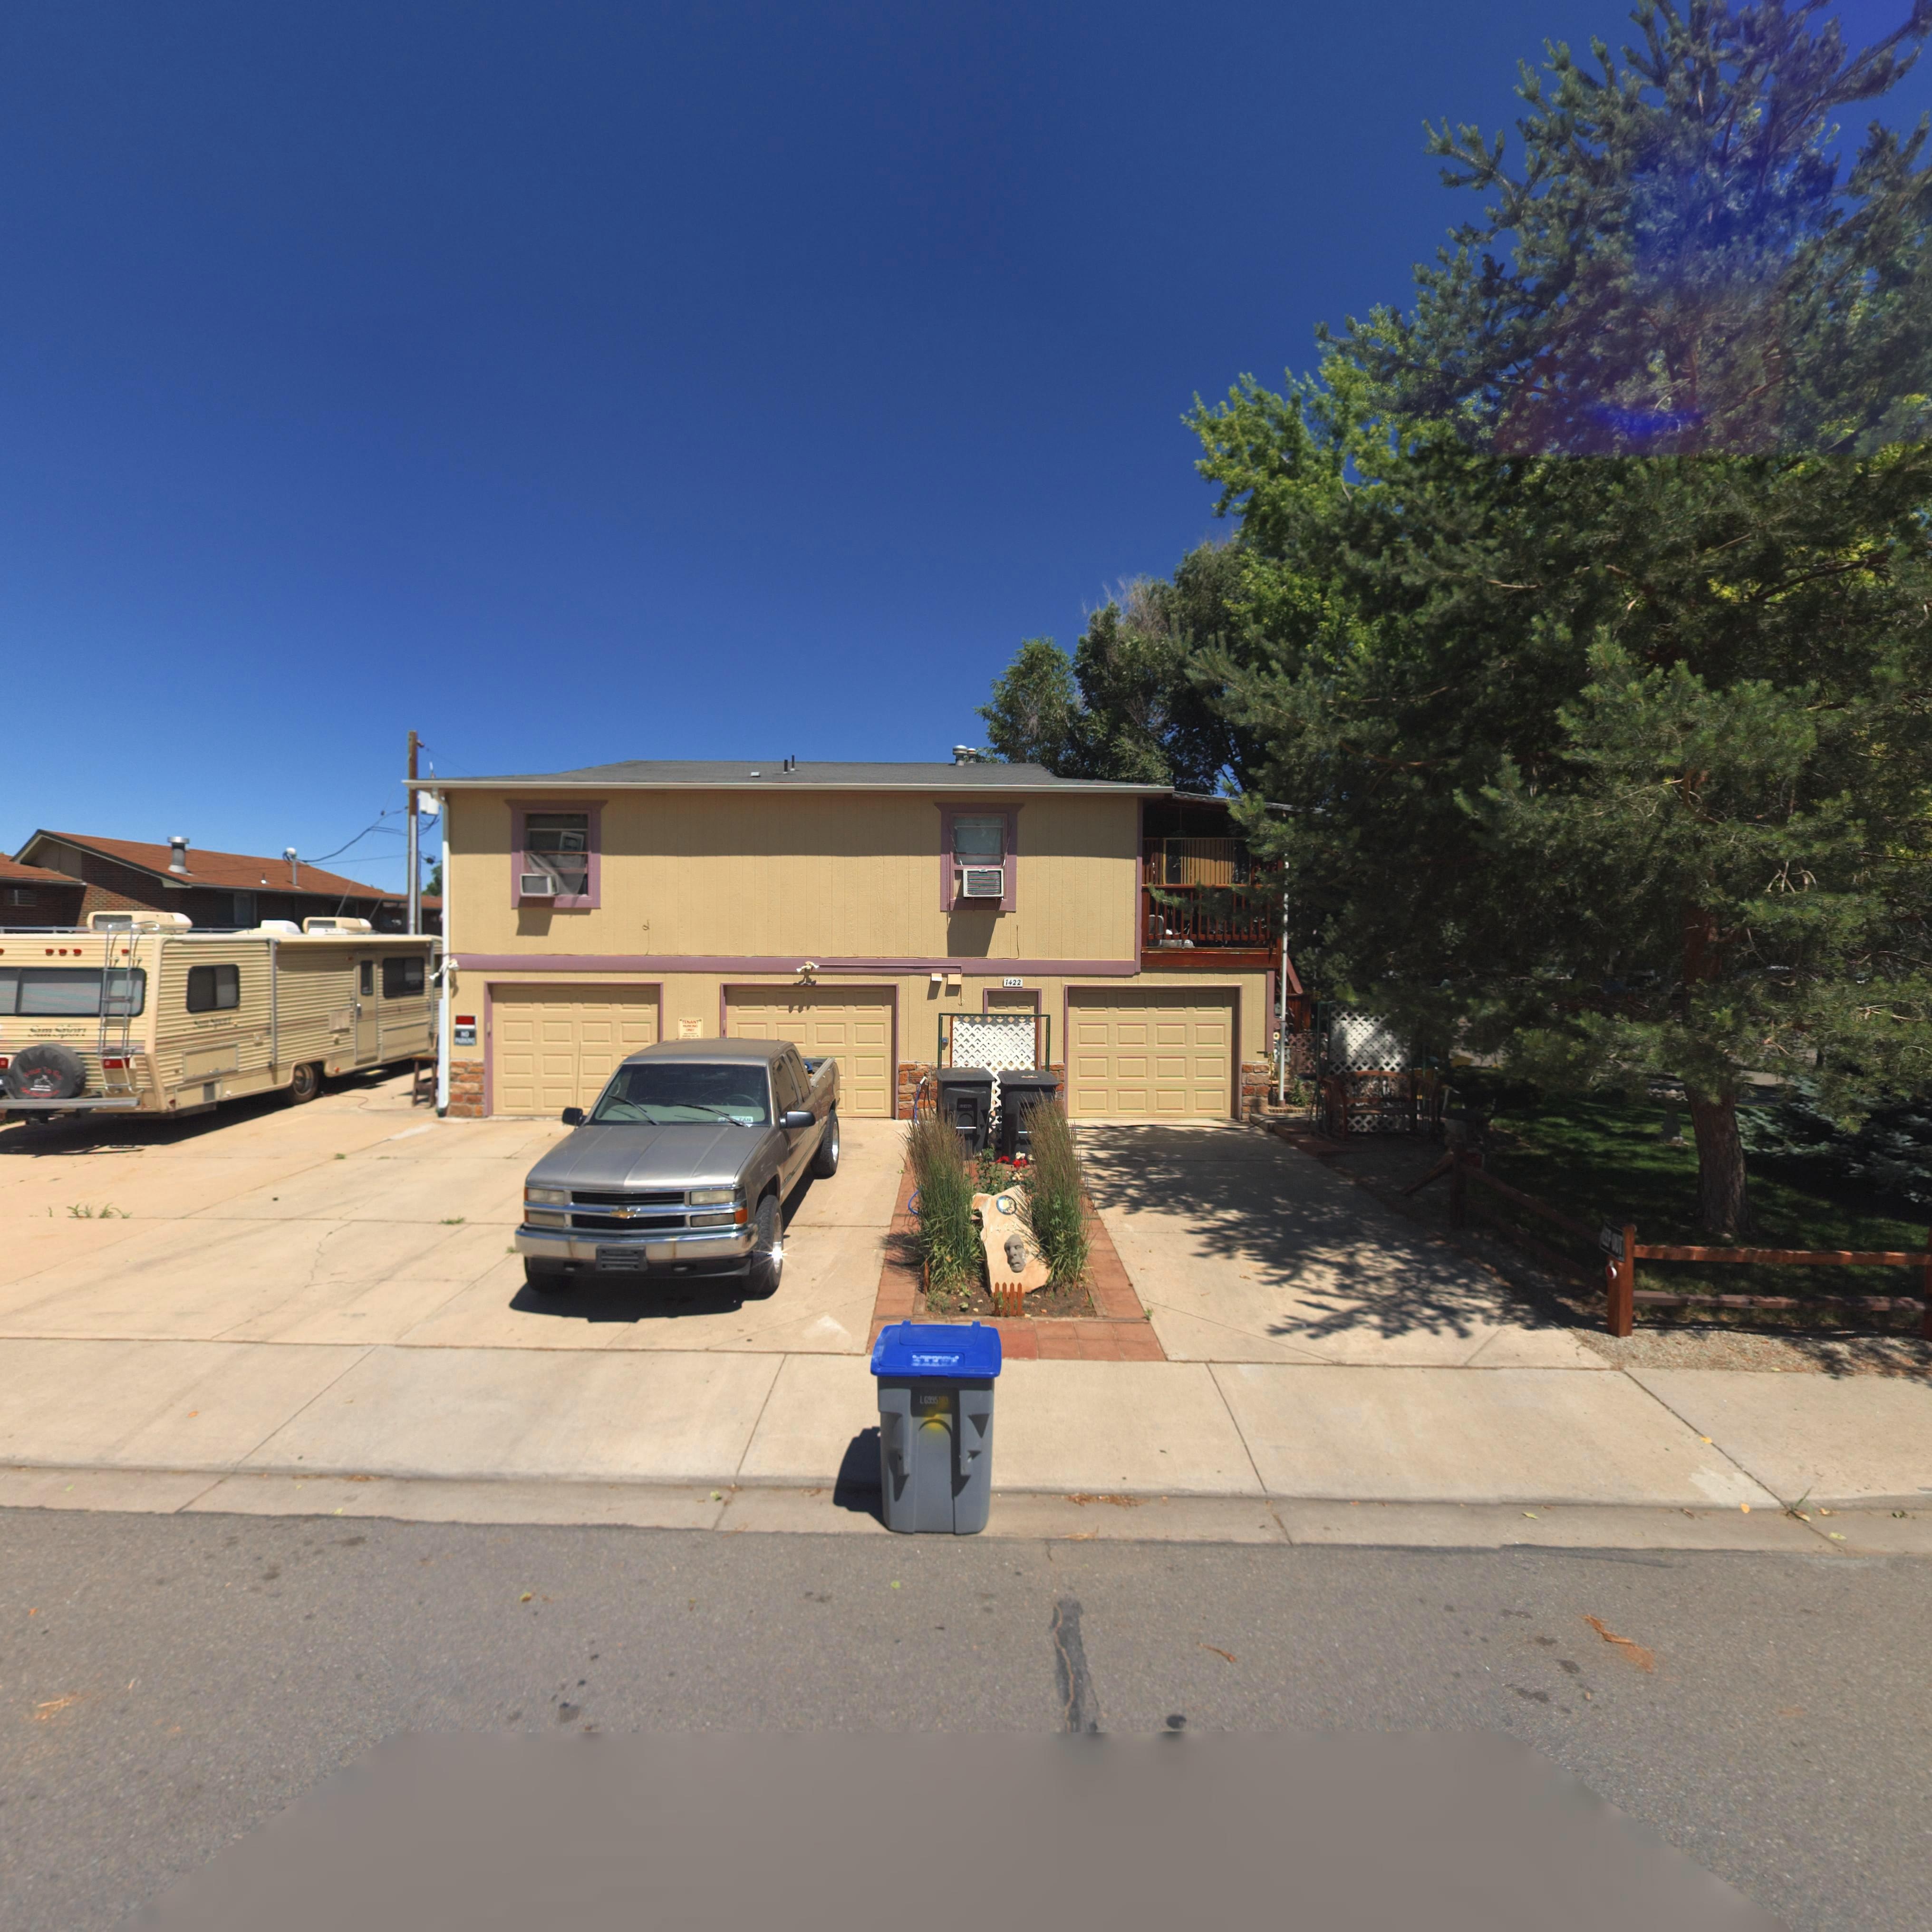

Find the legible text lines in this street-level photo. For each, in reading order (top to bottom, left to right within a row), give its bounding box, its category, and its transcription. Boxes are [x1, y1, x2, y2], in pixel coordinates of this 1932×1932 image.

[1005, 979, 1021, 985] StreetNumber: 1422
[989, 1222, 1018, 1234] StreetNumber: 1422